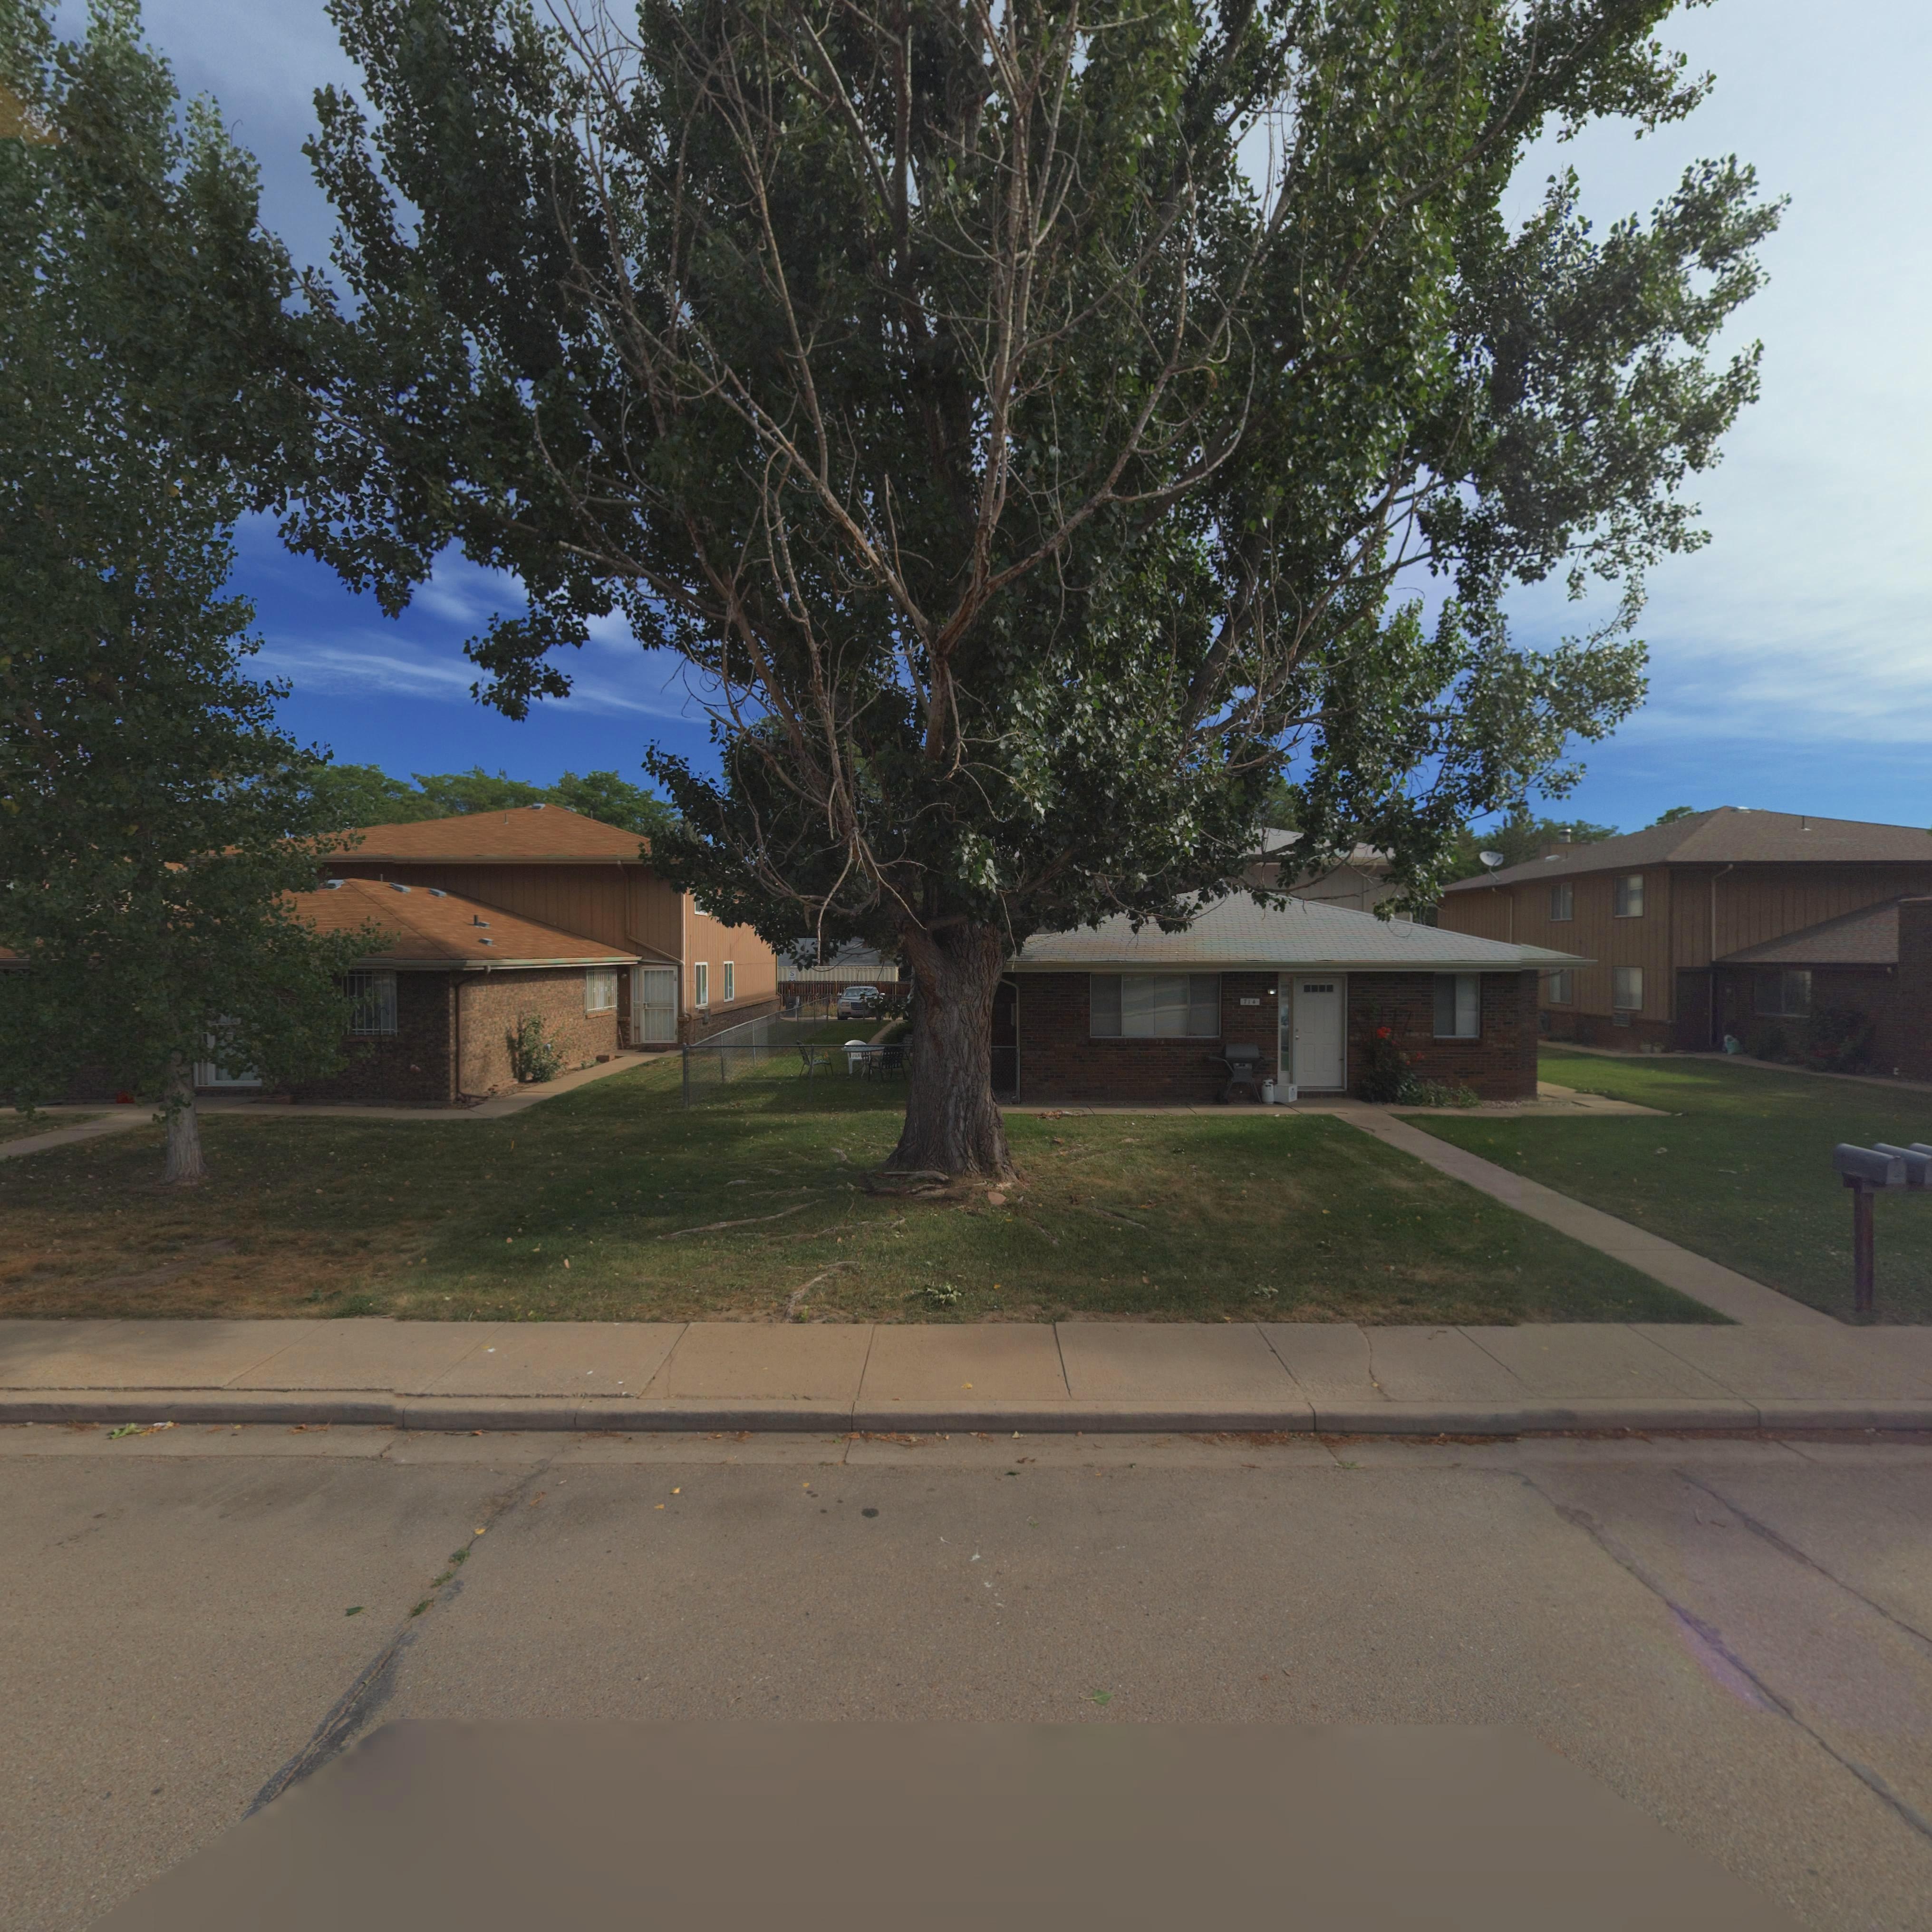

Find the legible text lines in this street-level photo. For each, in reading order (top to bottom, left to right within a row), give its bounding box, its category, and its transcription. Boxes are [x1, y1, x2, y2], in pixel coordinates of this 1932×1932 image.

[1243, 998, 1256, 1004] StreetNumber: 714